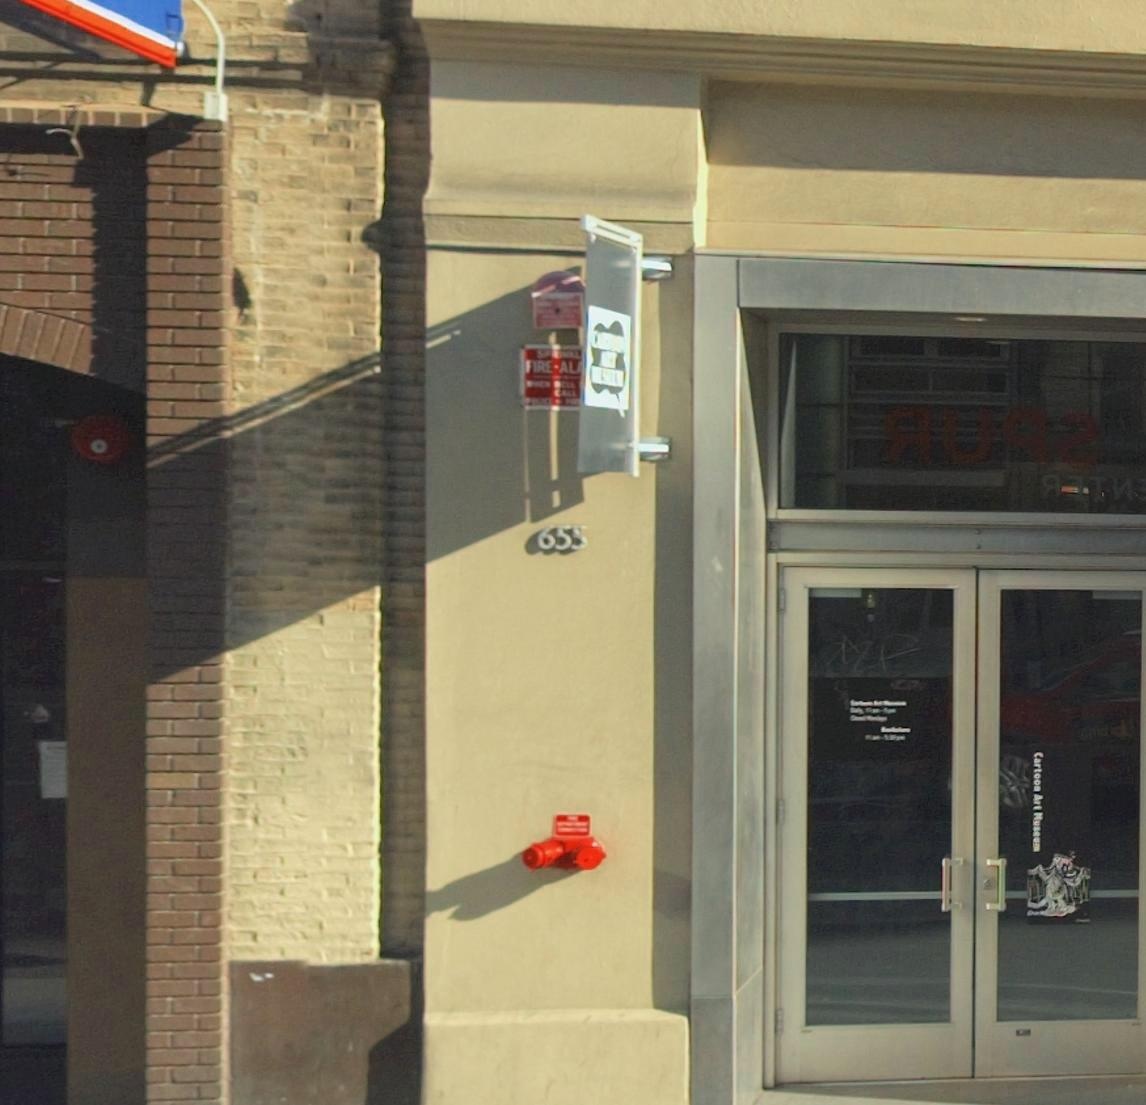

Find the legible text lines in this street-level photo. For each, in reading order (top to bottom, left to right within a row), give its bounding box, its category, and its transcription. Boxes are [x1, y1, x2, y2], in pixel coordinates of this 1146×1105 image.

[524, 359, 582, 374] None: FIRE-AL*
[877, 401, 1109, 473] None: *U**
[1040, 471, 1146, 505] None: **T**
[536, 524, 588, 551] StreetNumber: 655
[1032, 750, 1045, 854] BusinessName: Cartoon Art Museum